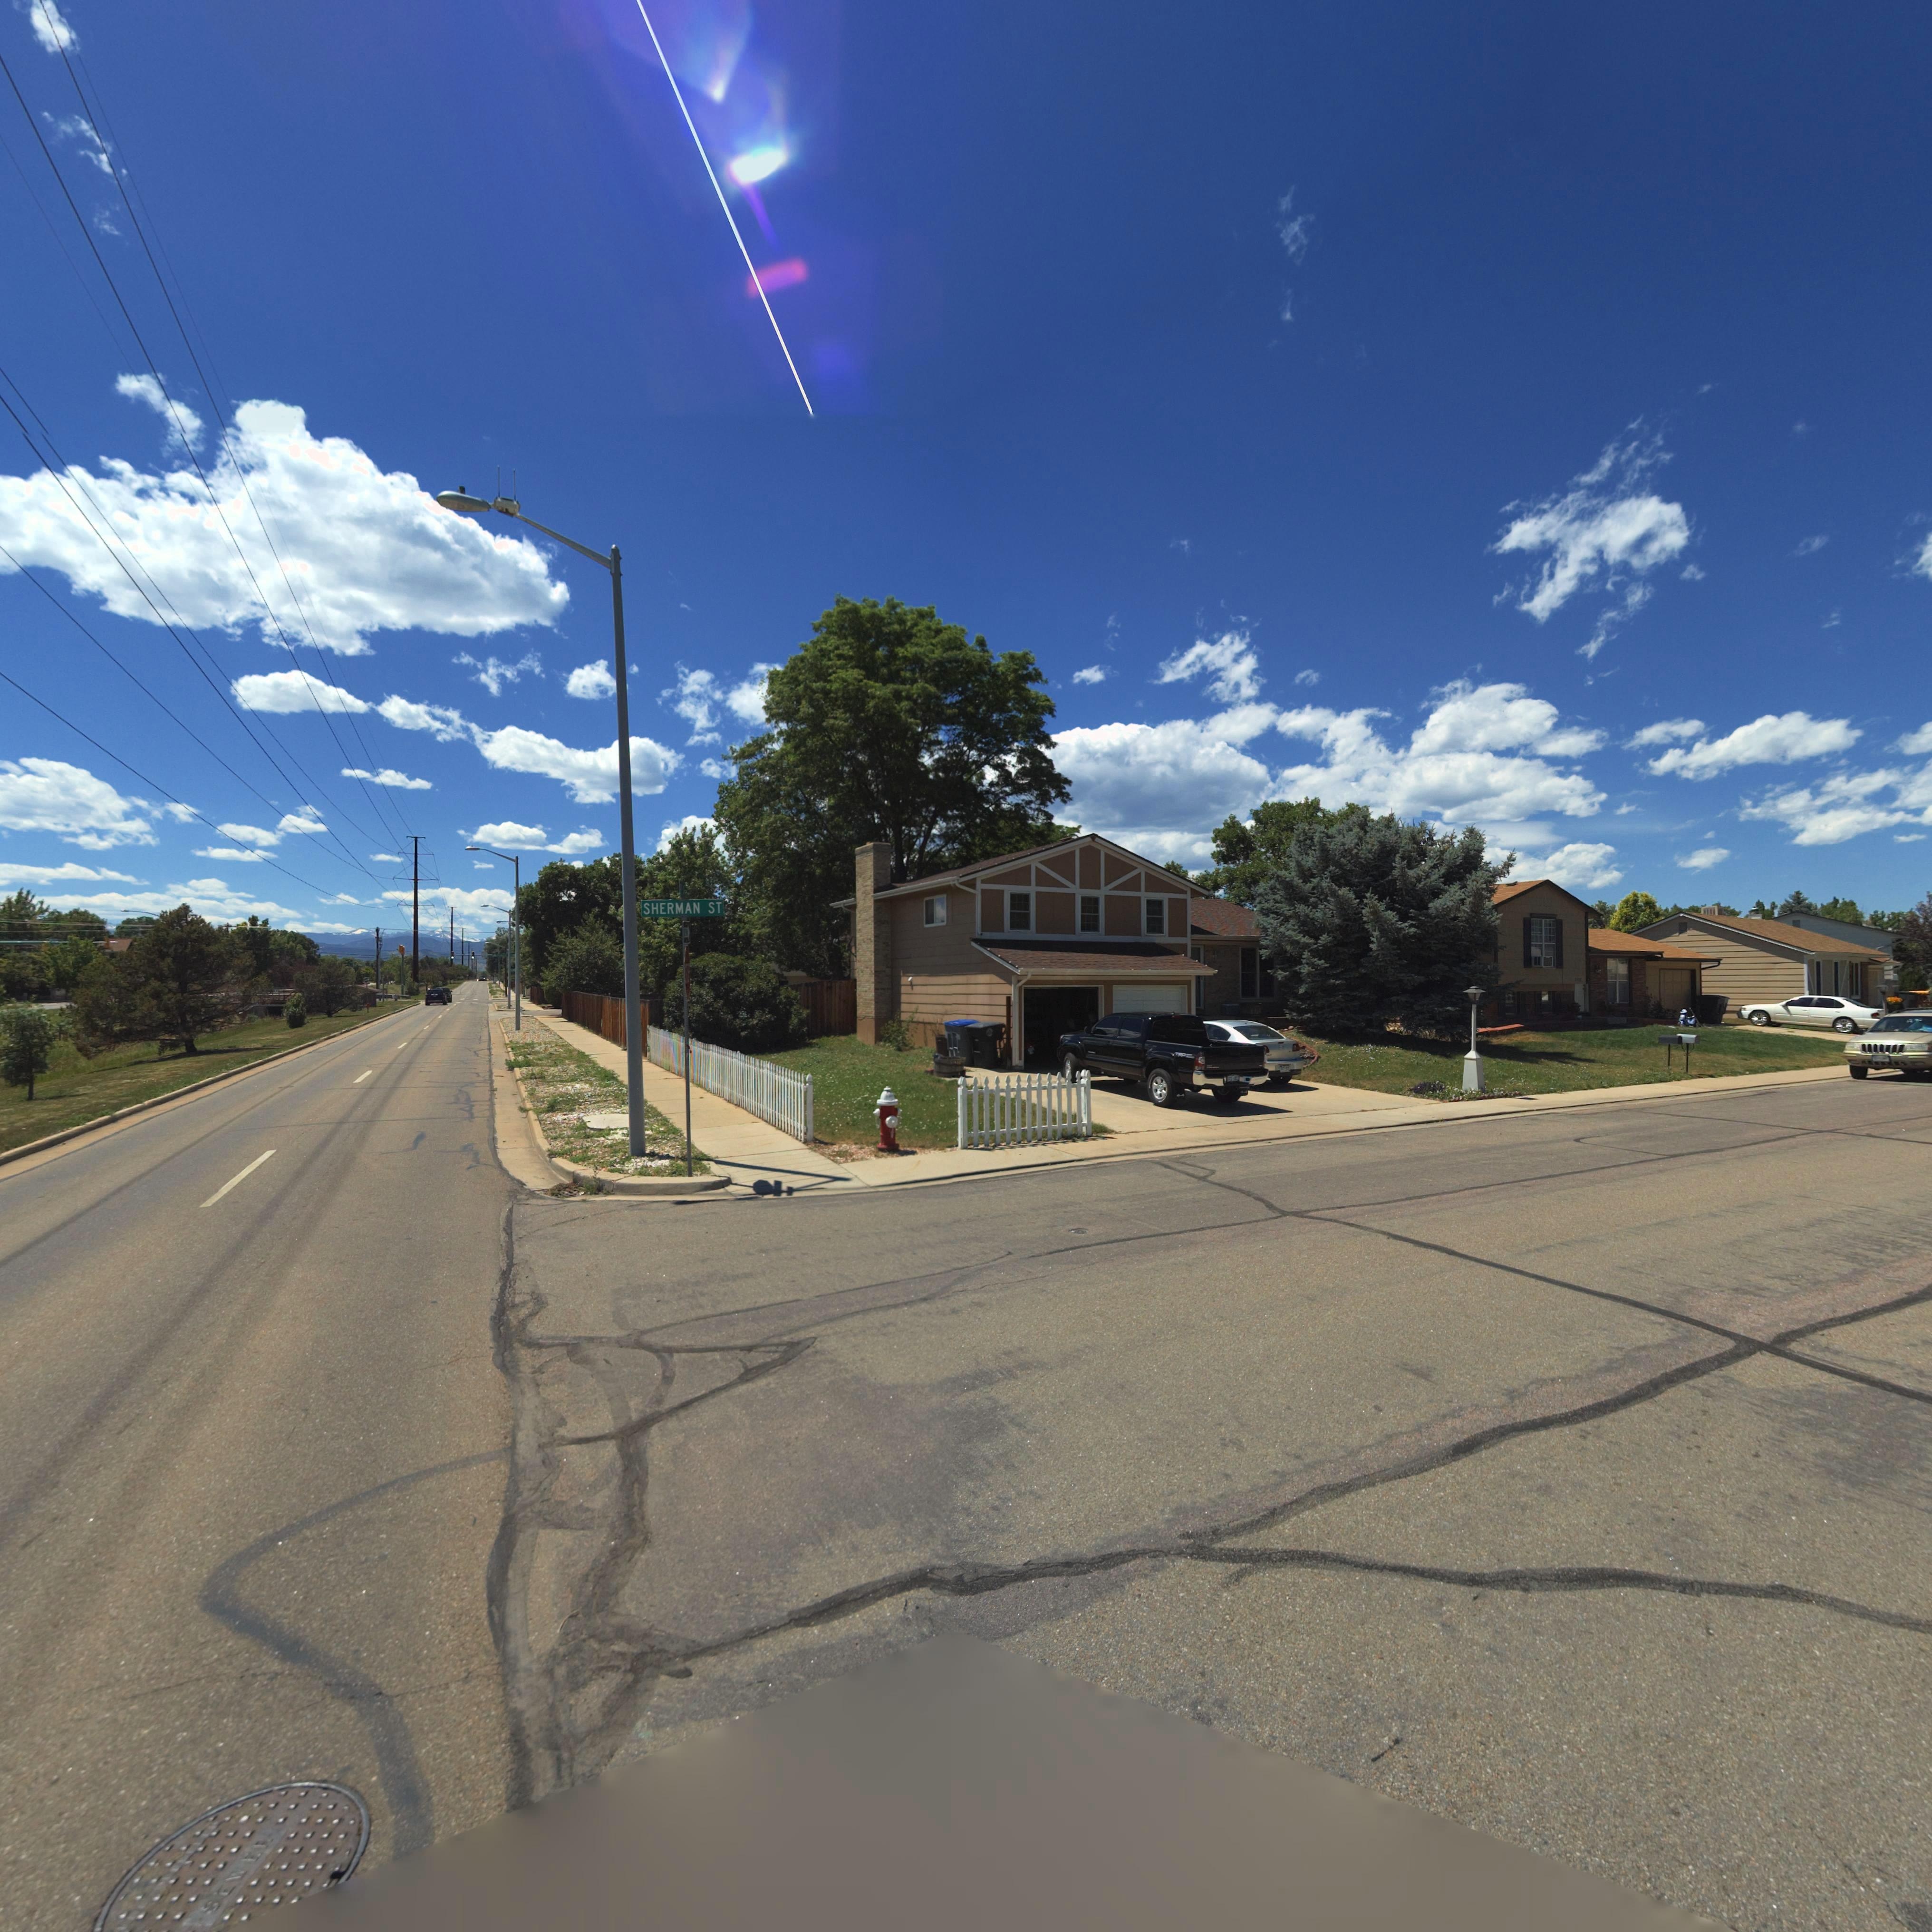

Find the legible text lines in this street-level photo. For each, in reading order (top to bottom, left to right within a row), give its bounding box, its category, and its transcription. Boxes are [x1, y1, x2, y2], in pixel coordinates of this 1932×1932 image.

[643, 901, 722, 915] StreetName: SHERMAN ST
[1574, 977, 1583, 982] StreetNumber: 21**